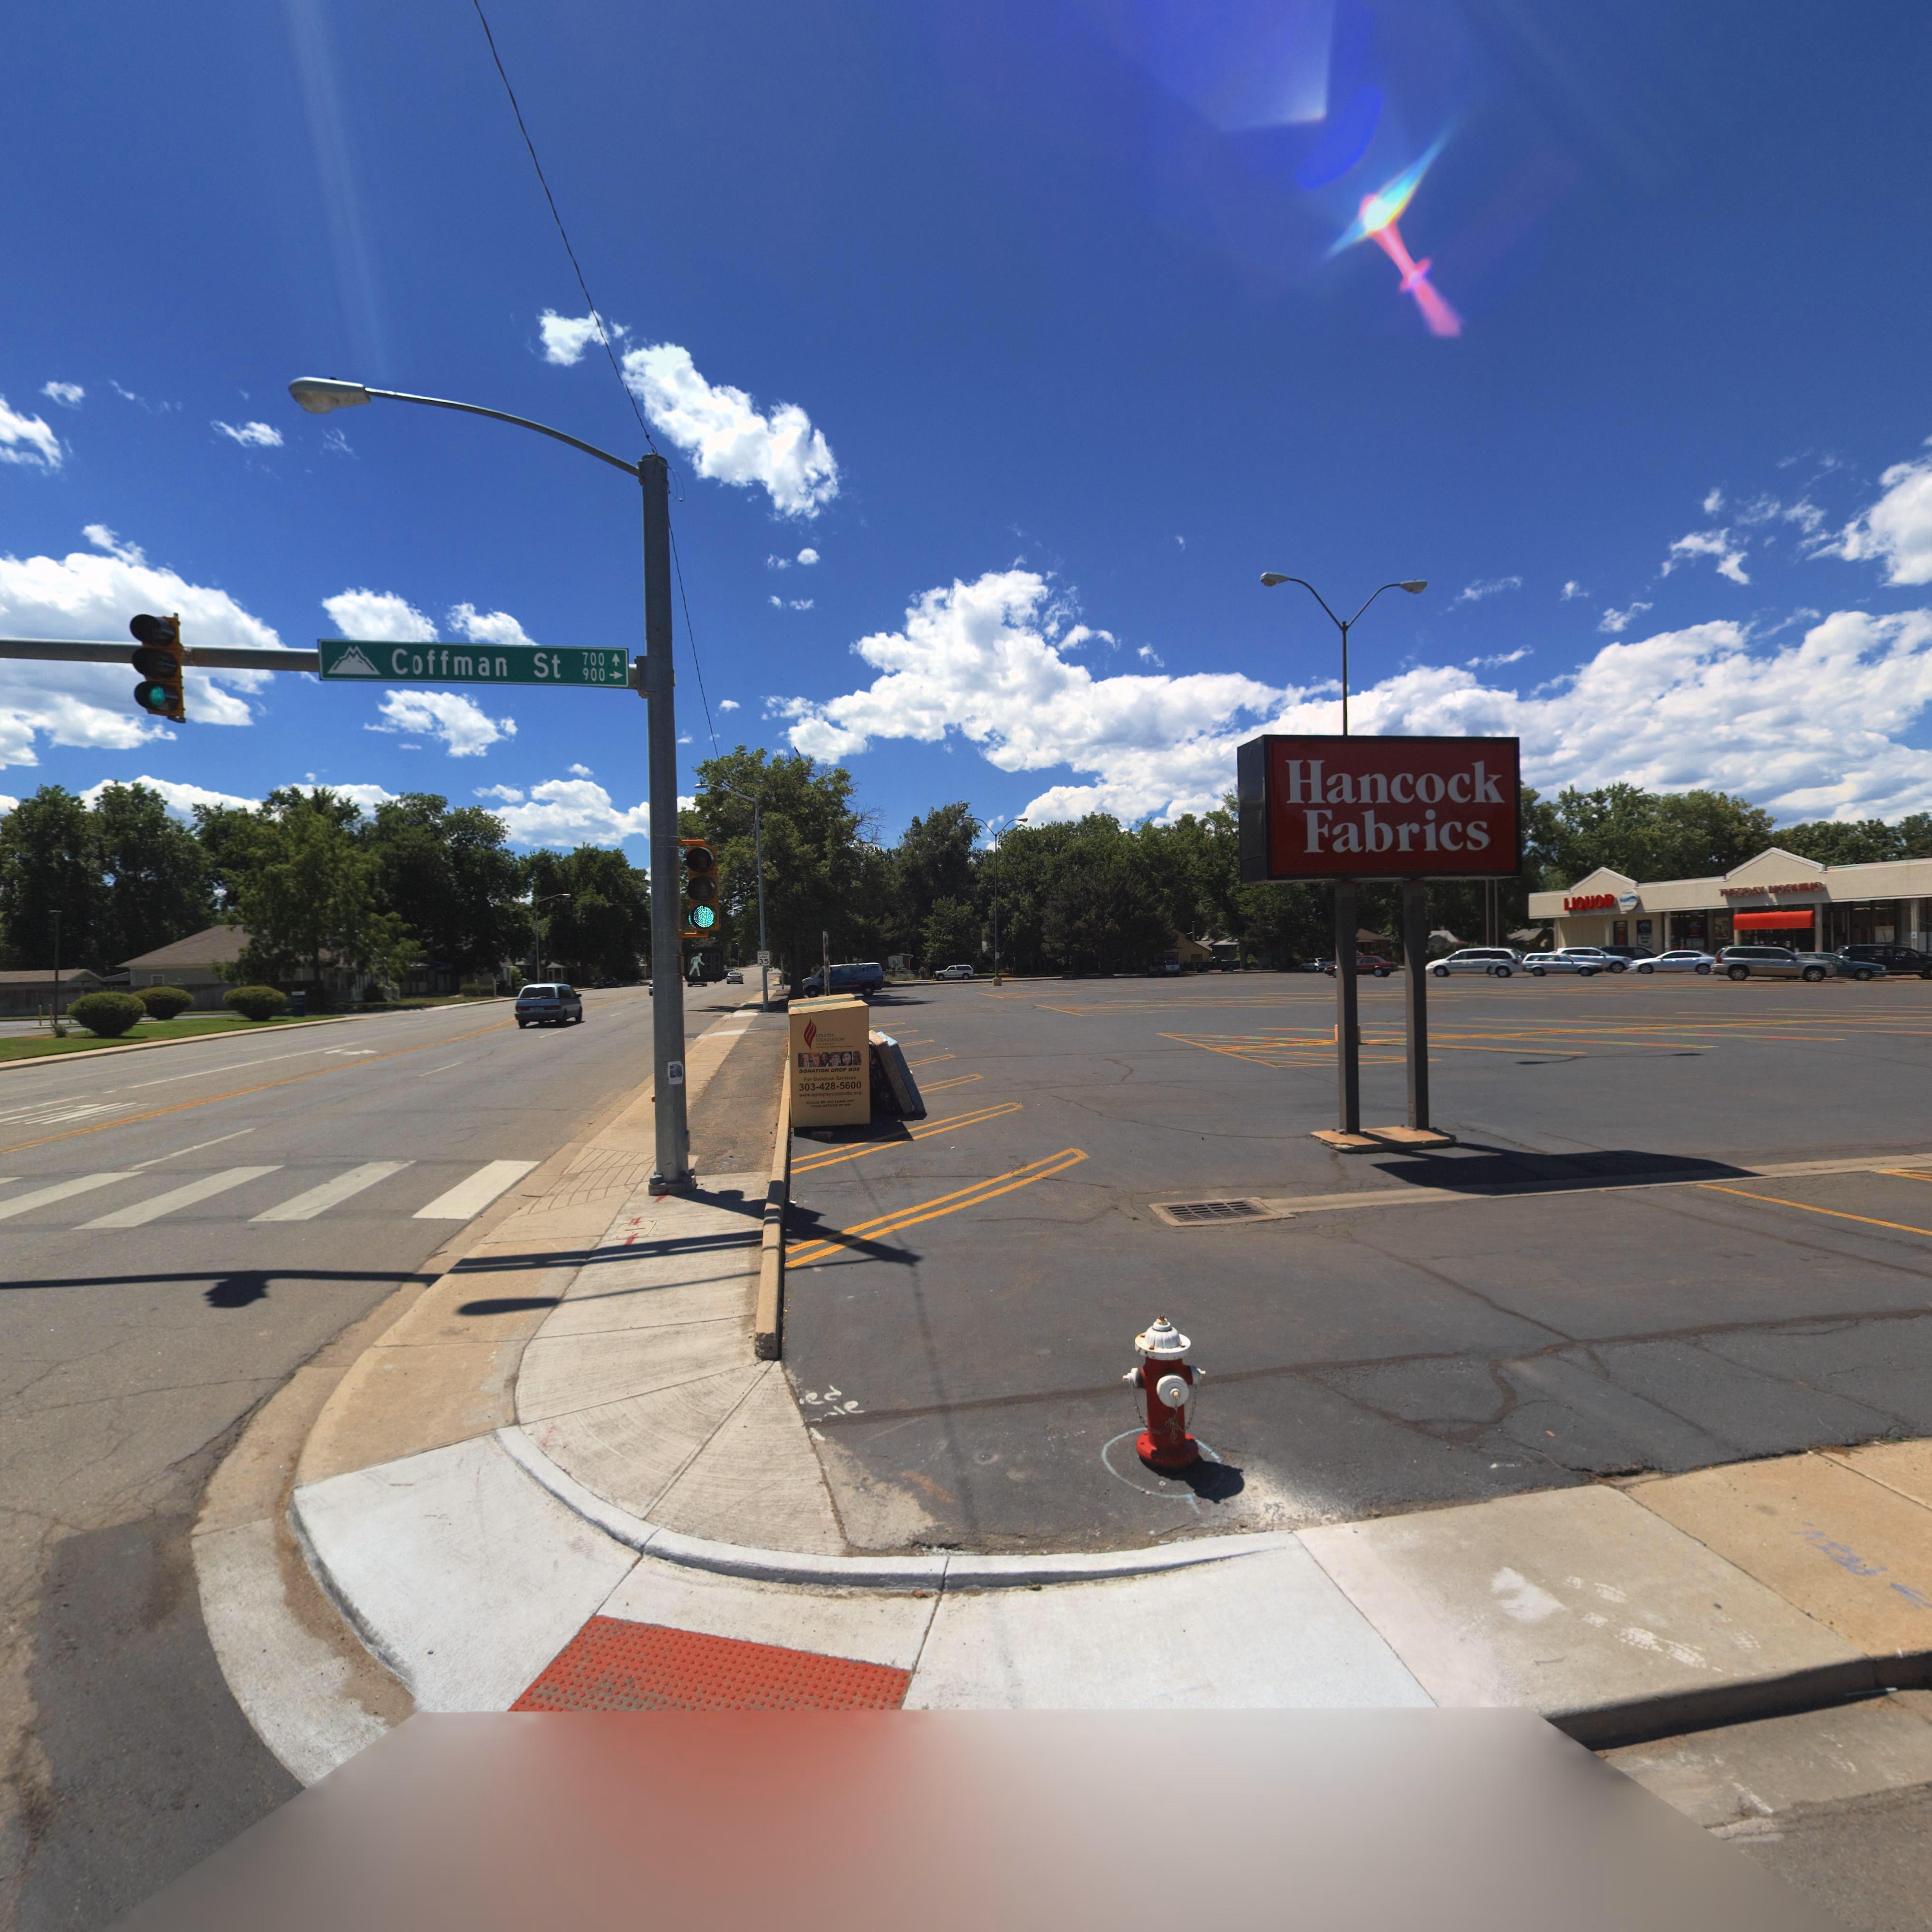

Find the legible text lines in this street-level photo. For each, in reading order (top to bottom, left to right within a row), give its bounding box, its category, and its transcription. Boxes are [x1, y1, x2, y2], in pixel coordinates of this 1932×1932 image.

[391, 647, 560, 678] StreetName: Coffman St
[581, 652, 605, 666] StreetNumberRange: 700
[582, 667, 623, 682] StreetNumberRange: 900 ->
[1285, 759, 1506, 804] BusinessName: Hancock
[1302, 808, 1490, 853] BusinessName: Fabrics
[1718, 881, 1823, 898] BusinessName: TUESDAY MORNING